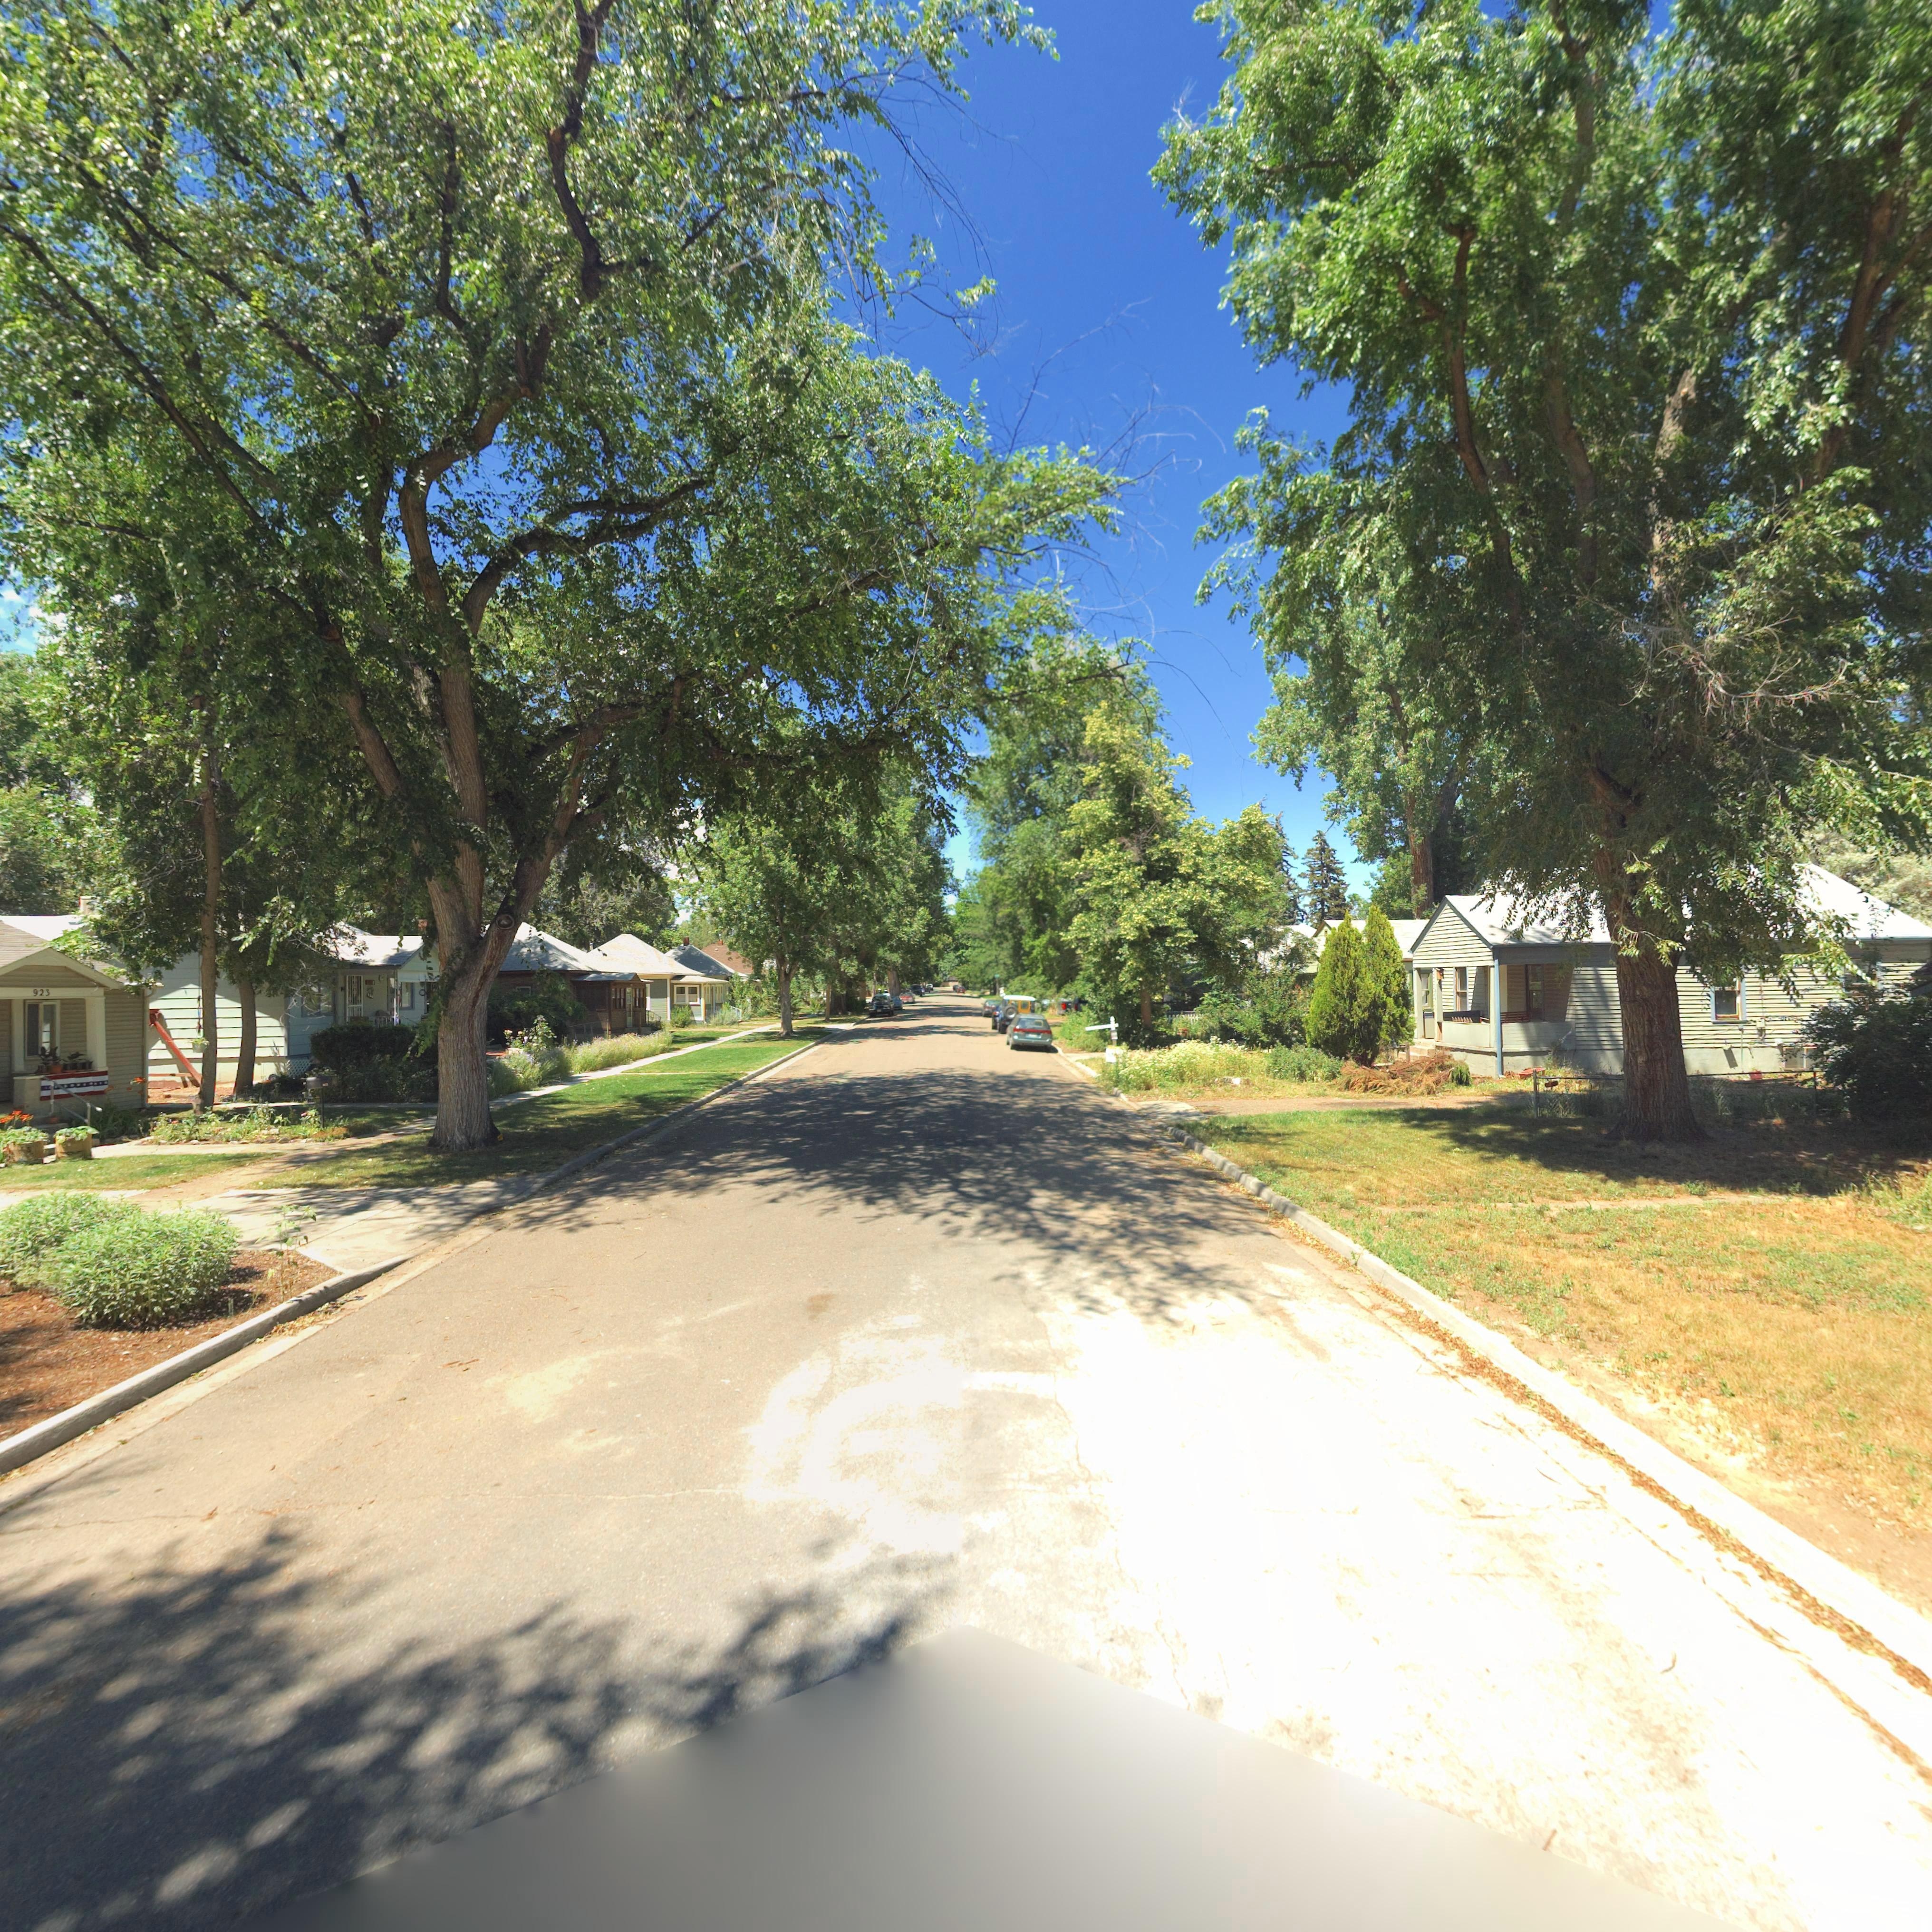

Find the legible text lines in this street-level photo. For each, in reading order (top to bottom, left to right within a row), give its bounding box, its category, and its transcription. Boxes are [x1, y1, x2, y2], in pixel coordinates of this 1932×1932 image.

[33, 987, 50, 997] StreetNumber: 923